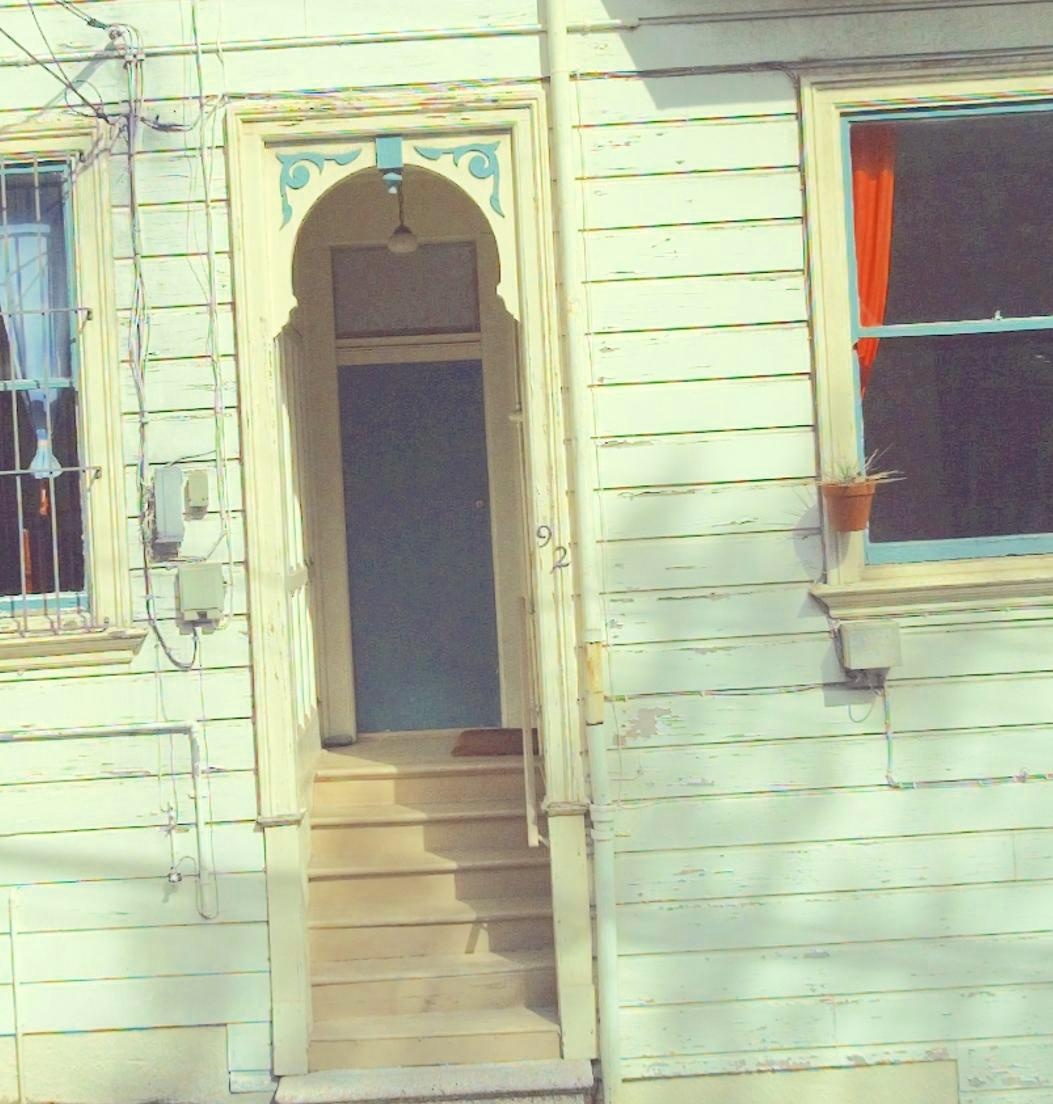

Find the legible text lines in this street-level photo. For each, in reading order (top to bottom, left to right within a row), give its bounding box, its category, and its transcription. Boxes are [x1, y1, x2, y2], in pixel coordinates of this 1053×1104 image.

[535, 522, 572, 572] StreetNumber: 92